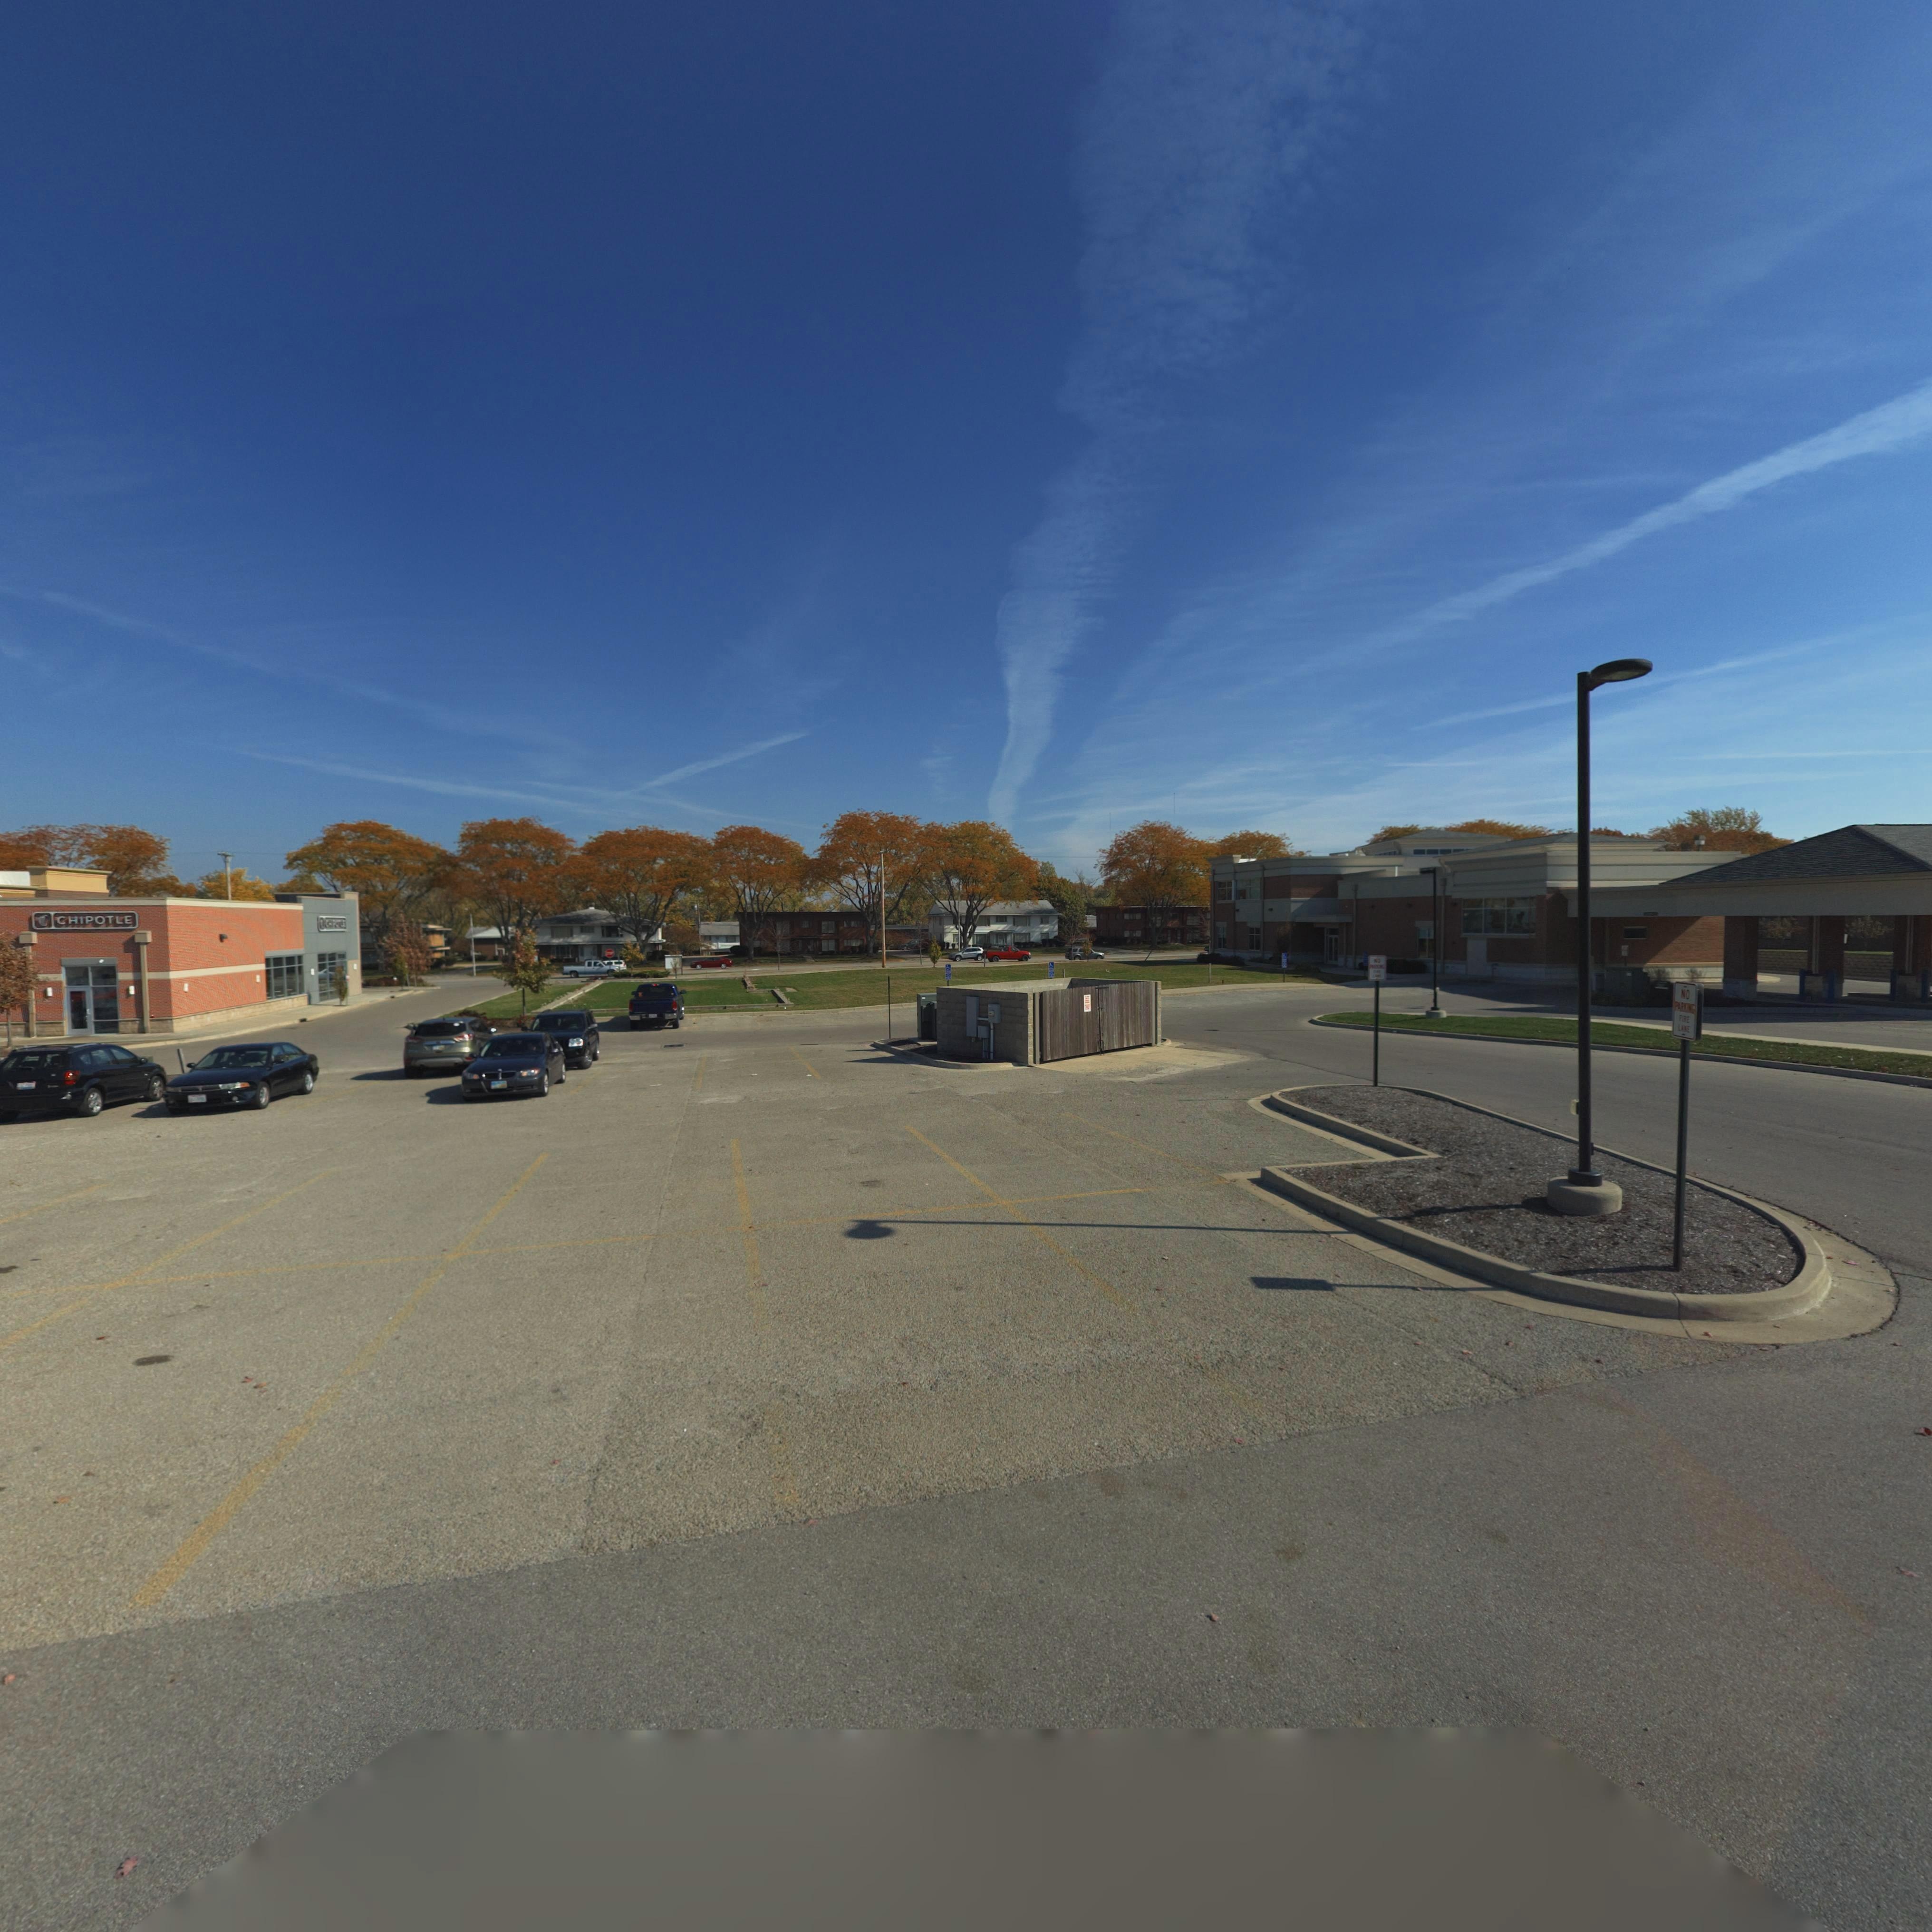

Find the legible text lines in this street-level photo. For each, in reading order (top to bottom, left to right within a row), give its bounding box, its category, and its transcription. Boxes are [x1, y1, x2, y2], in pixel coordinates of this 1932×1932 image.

[56, 914, 133, 926] BusinessName: CHIPOTLE